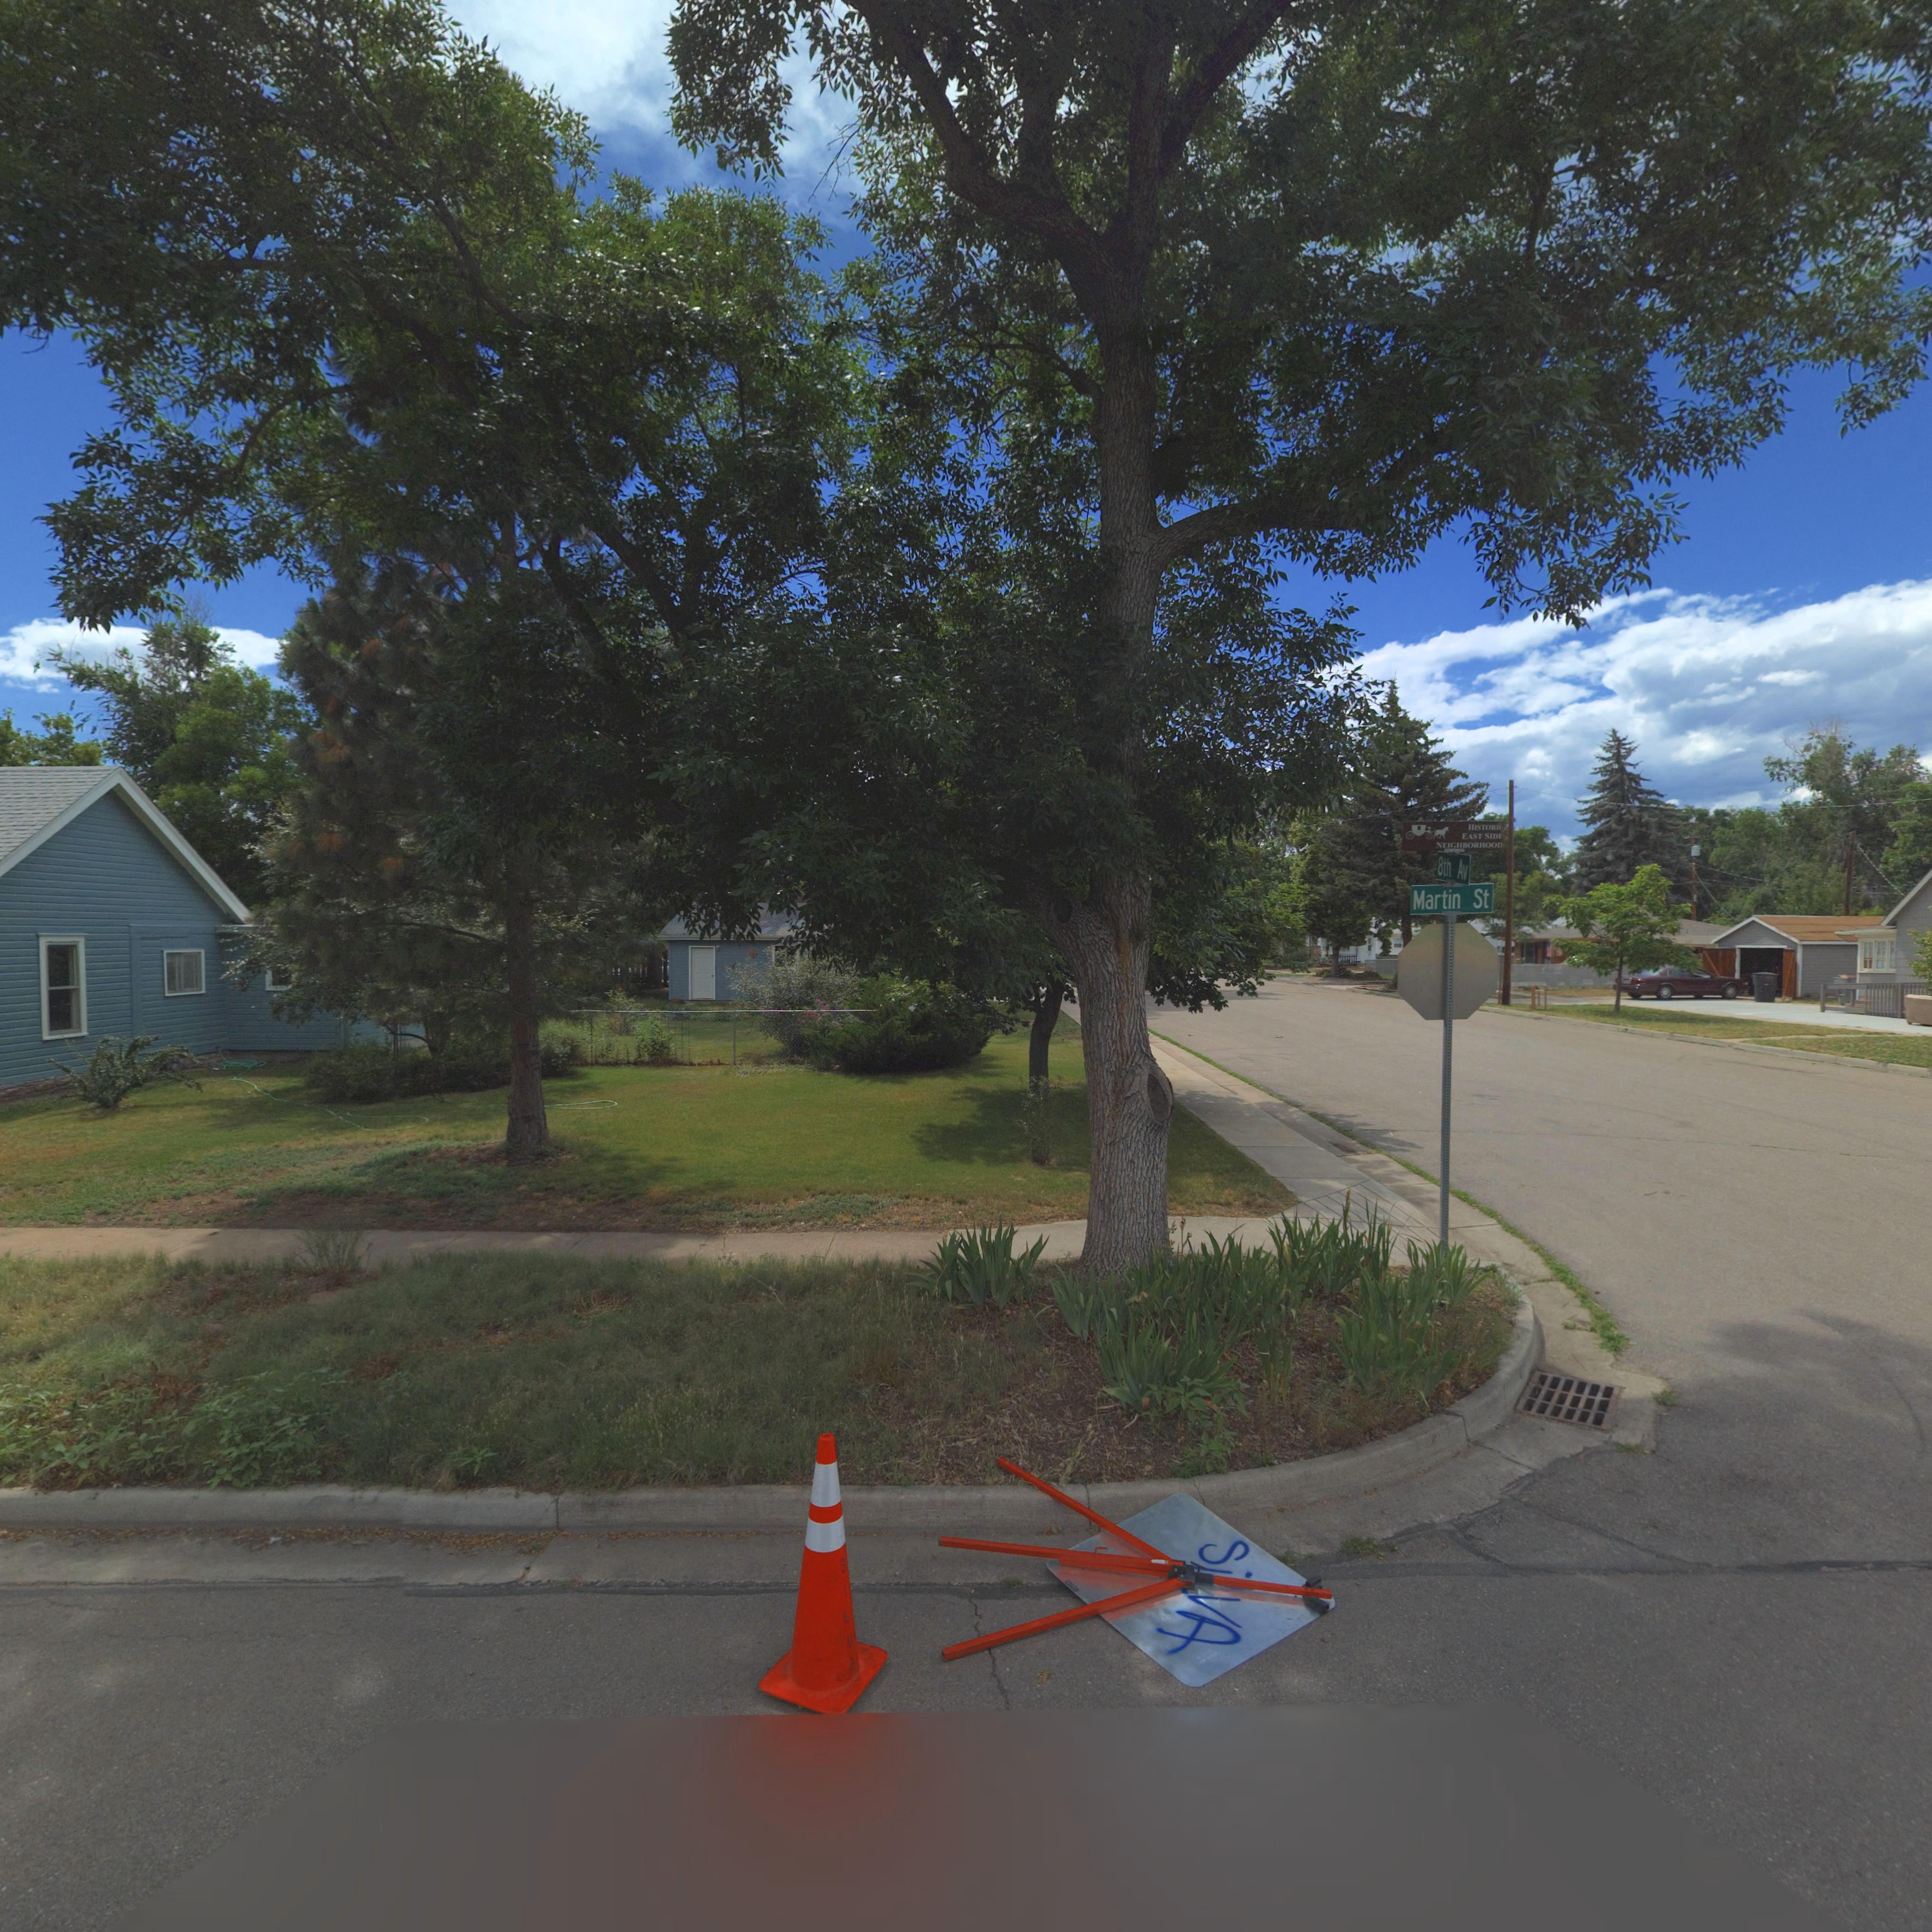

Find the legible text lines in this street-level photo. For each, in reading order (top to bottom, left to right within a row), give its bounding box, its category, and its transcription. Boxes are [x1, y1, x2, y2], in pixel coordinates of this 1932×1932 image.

[1437, 855, 1469, 881] StreetName: 8th Av
[1412, 888, 1489, 909] StreetName: Martin St